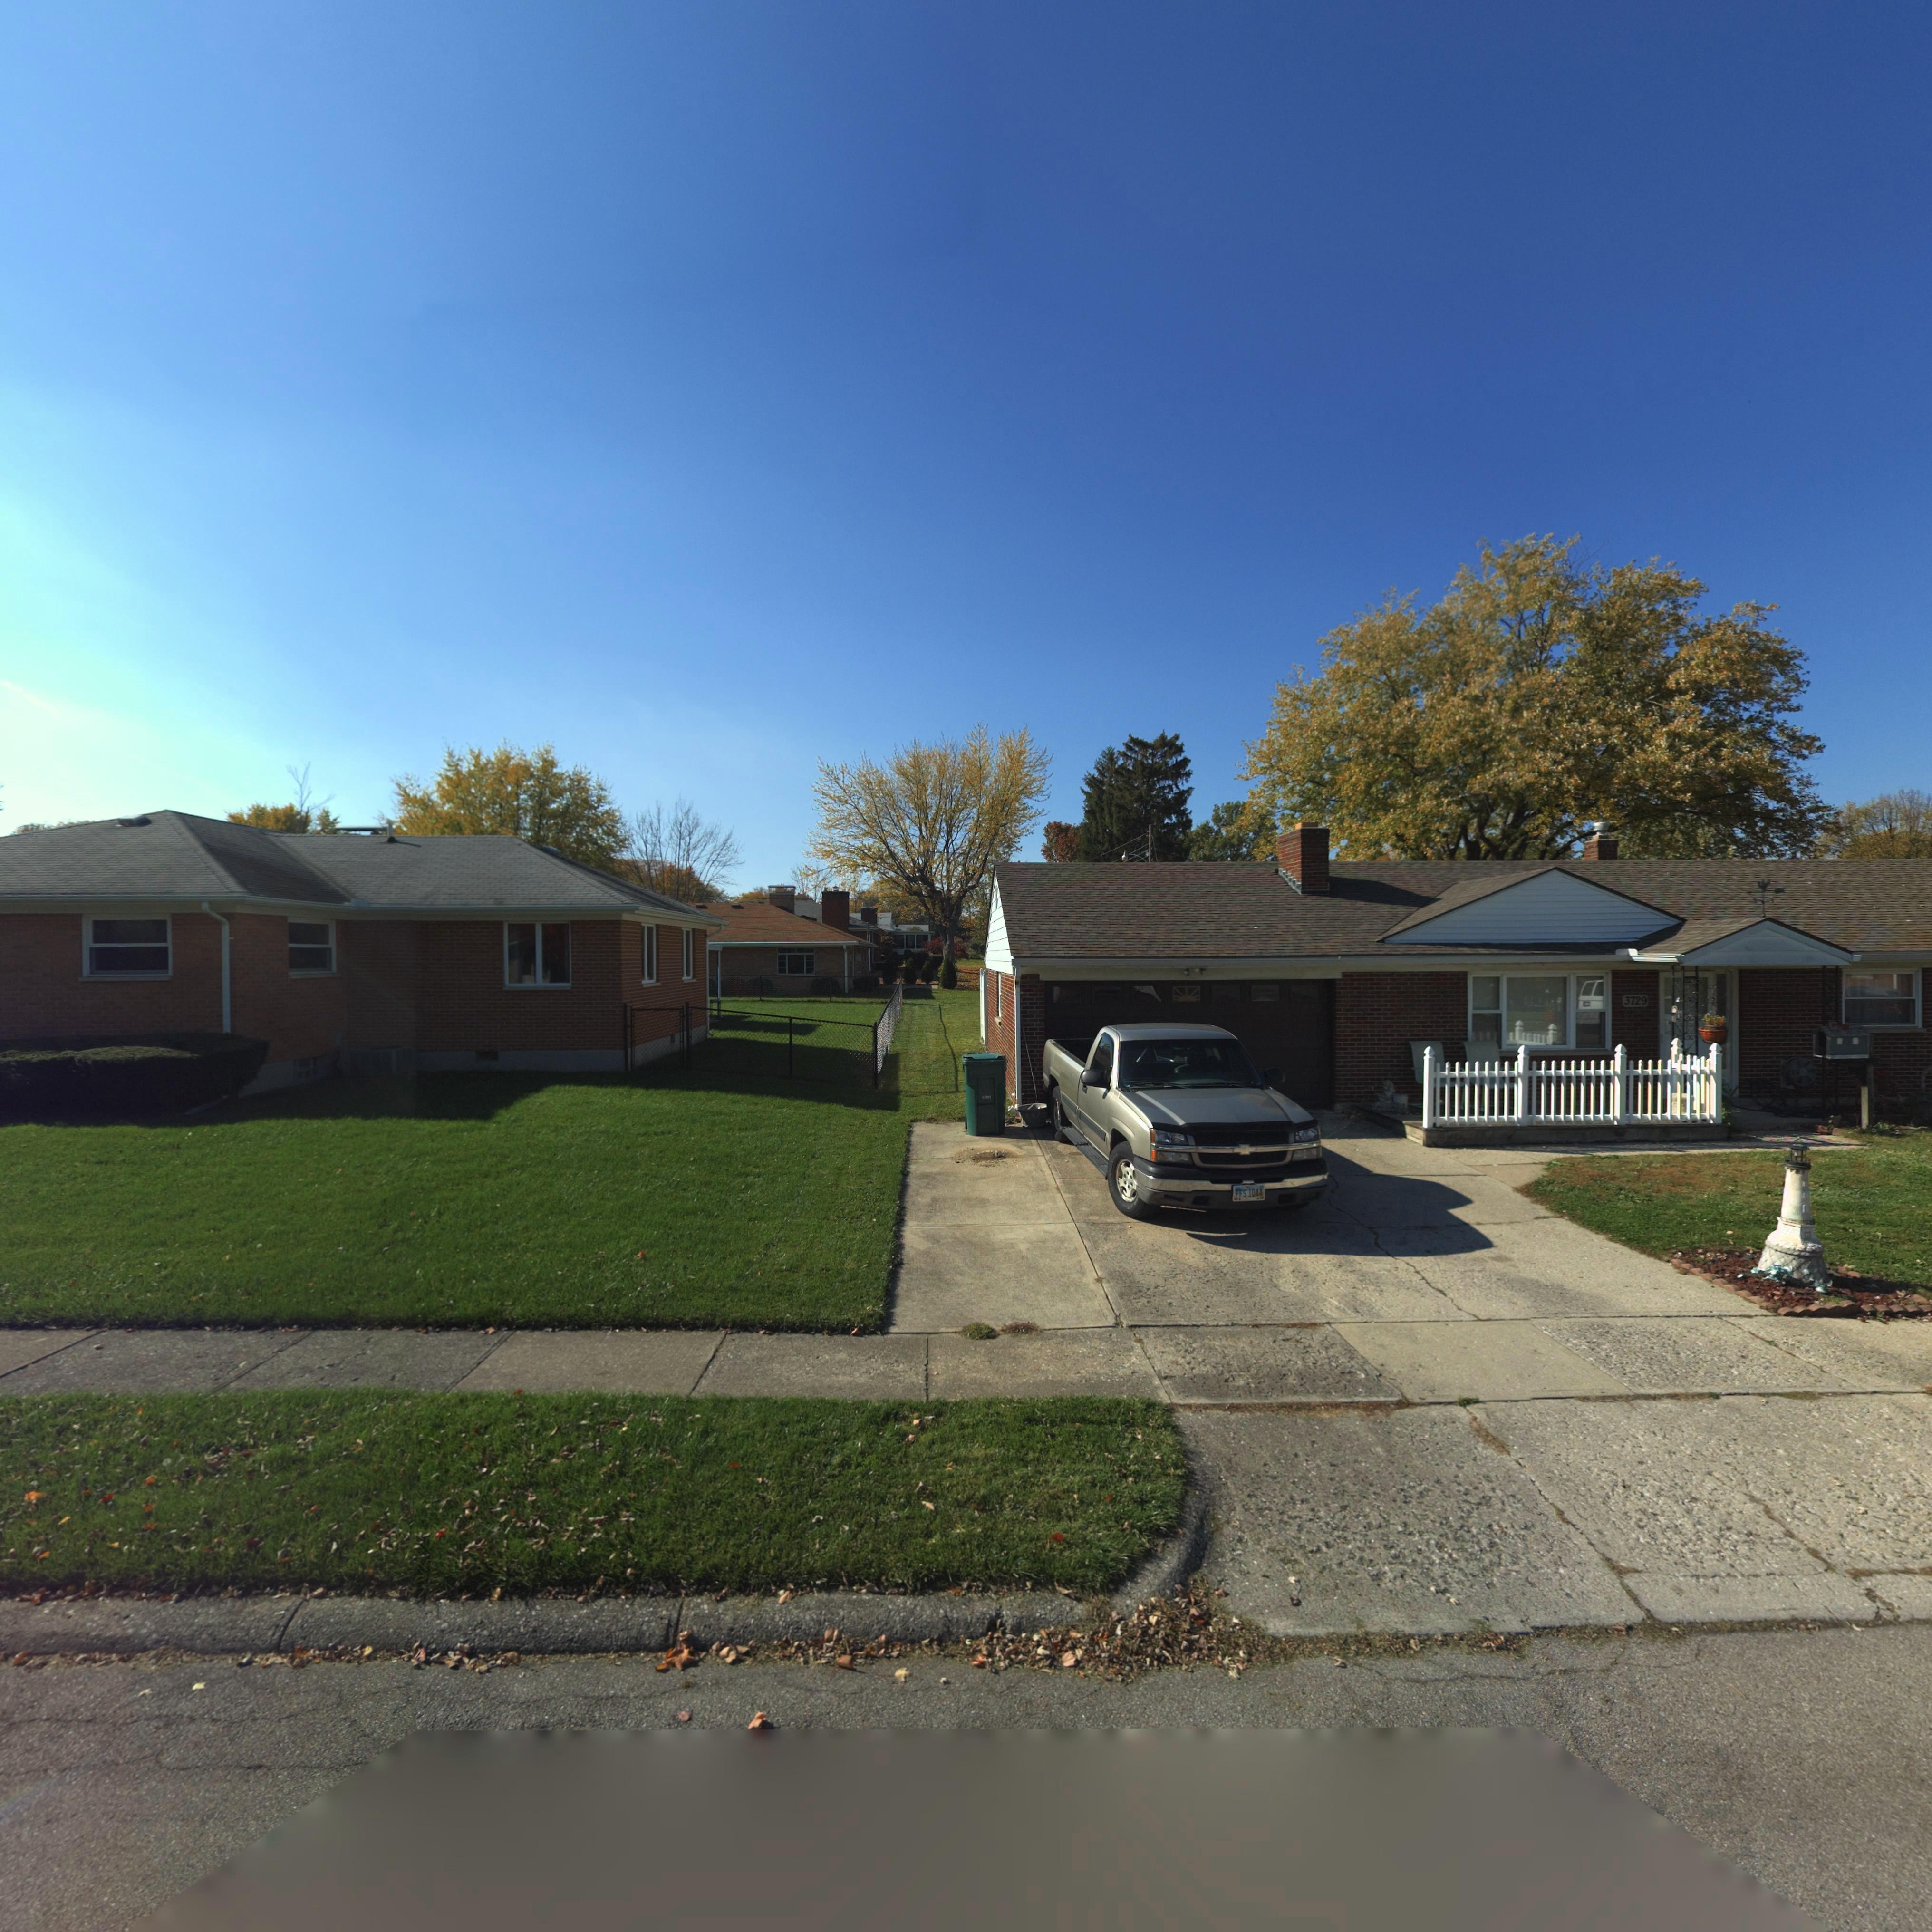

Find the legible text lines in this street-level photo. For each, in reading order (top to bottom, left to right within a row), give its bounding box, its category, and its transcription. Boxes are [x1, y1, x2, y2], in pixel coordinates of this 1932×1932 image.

[1623, 995, 1647, 1006] StreetNumber: 3729
[1236, 1188, 1263, 1198] None: FFS 1044